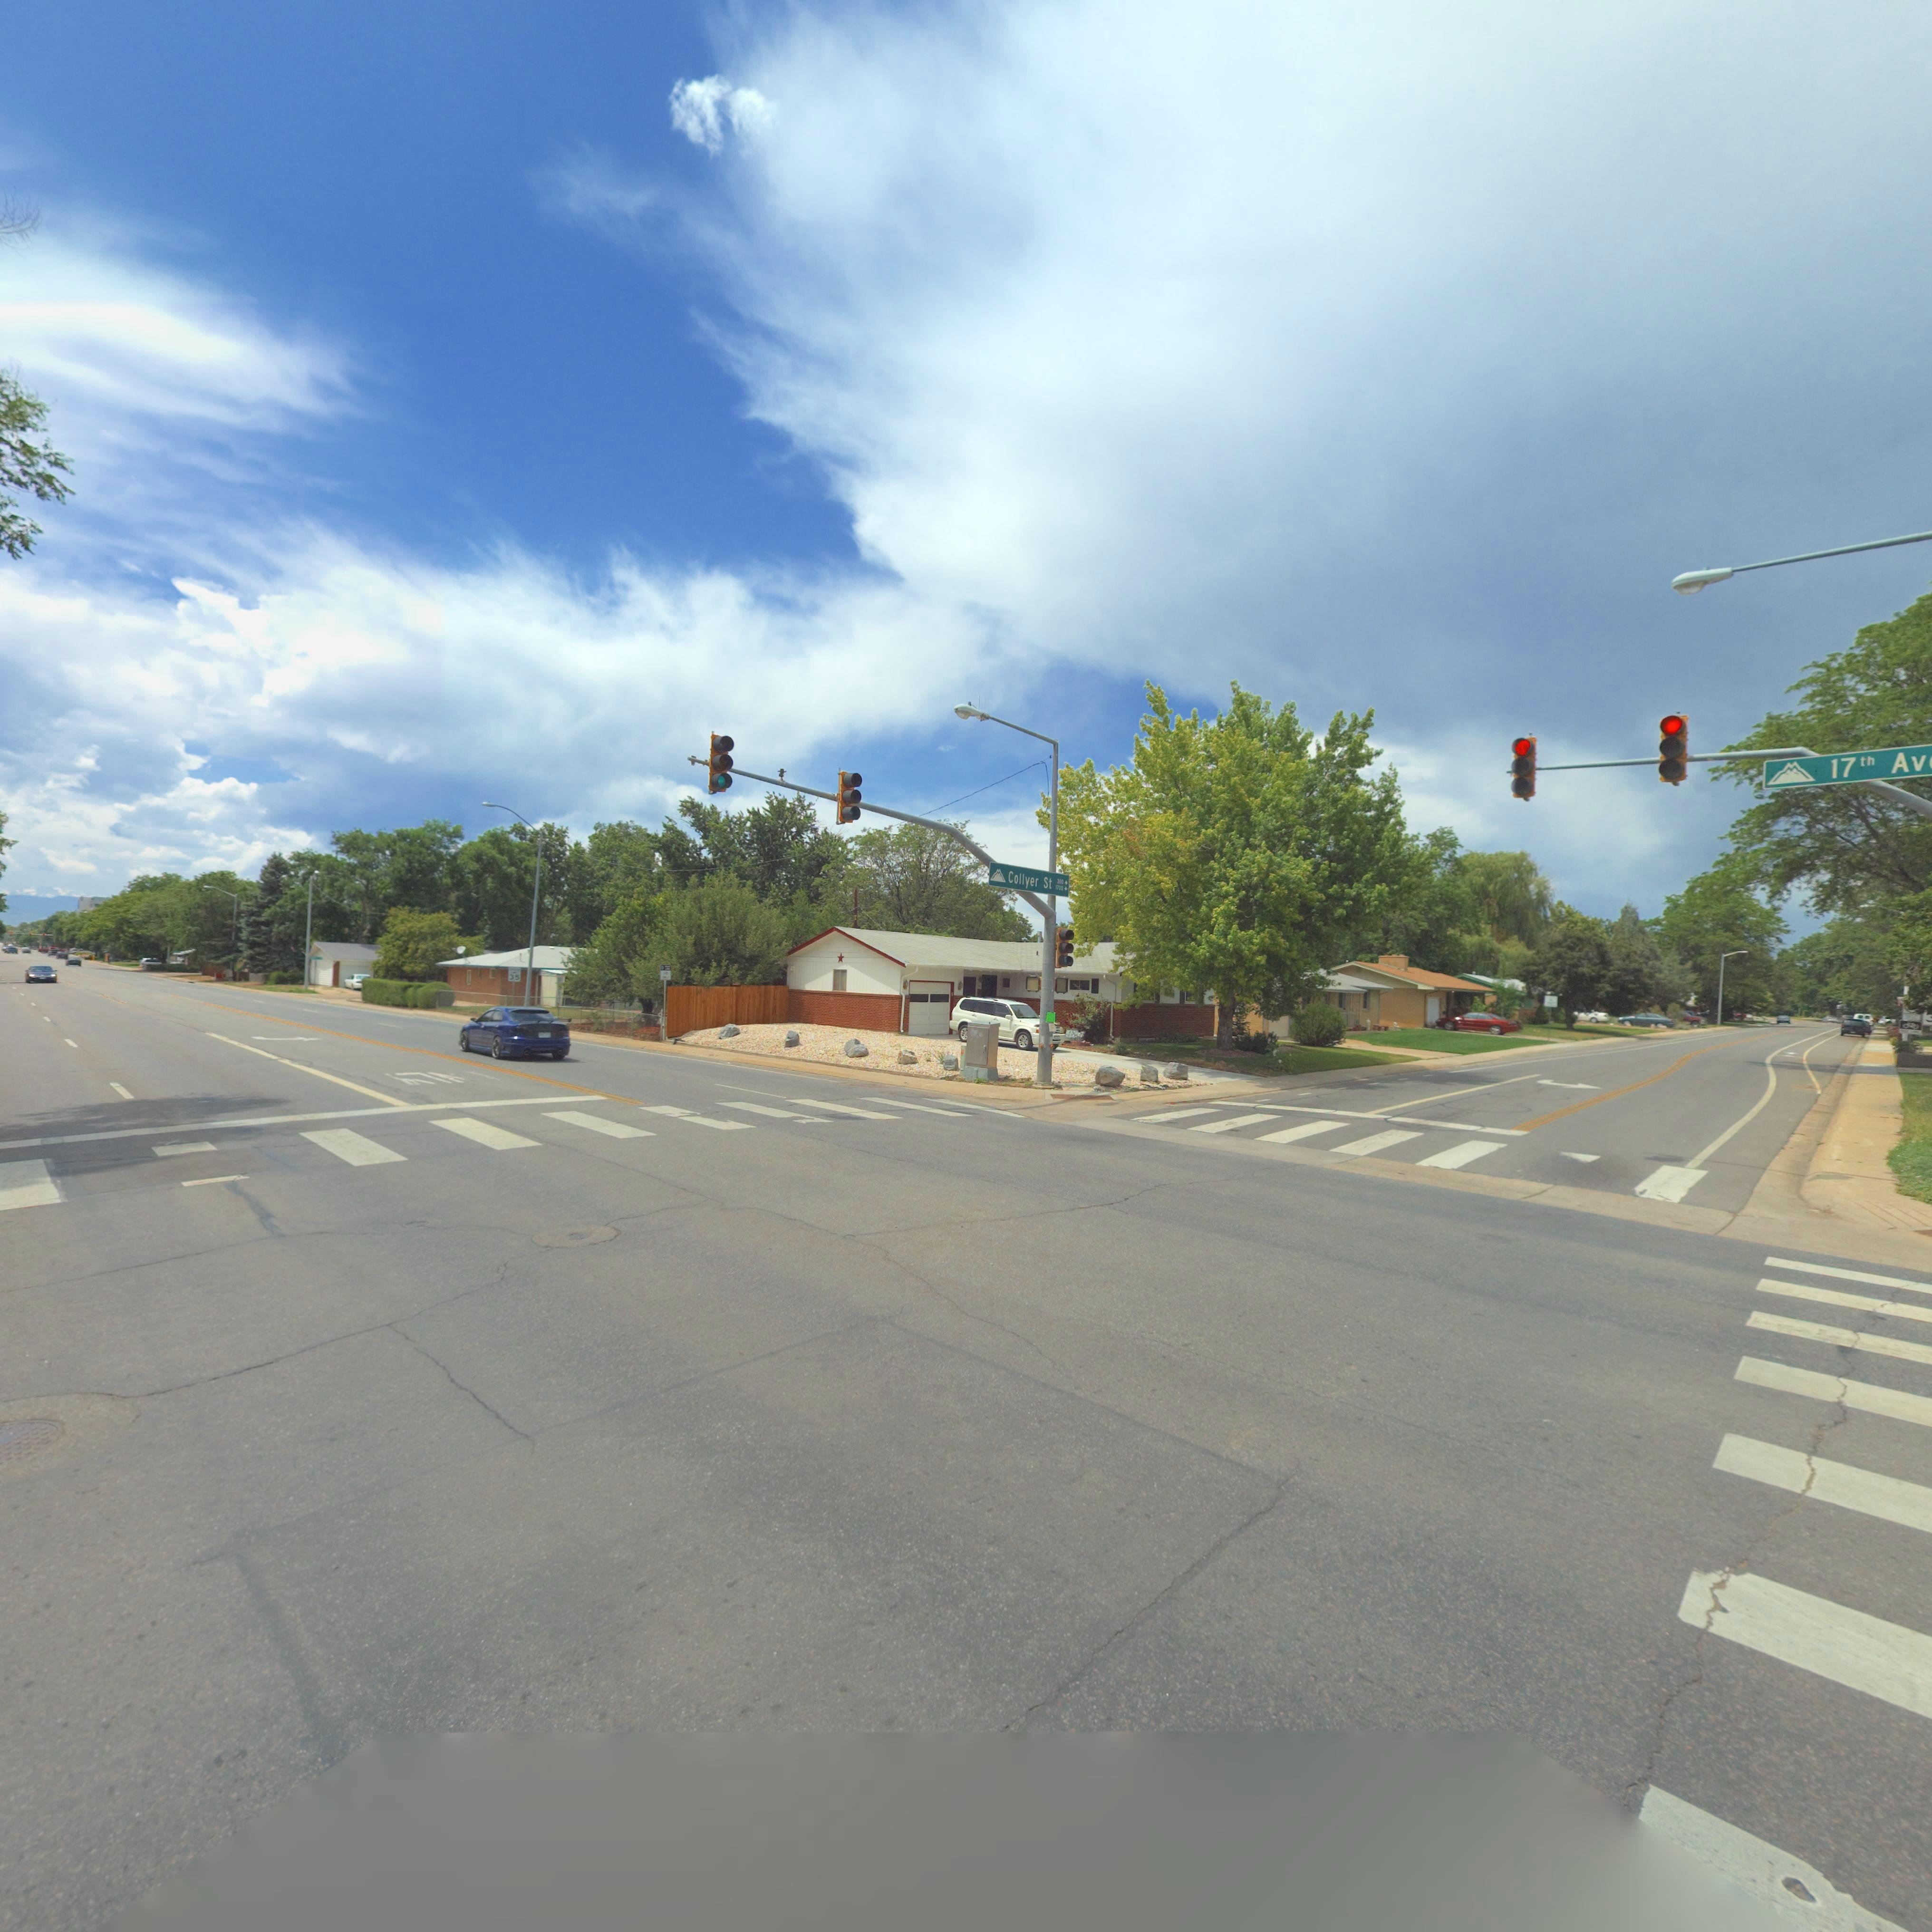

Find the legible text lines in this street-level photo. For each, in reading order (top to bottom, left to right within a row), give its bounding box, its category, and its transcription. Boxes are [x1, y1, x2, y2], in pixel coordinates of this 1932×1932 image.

[1830, 751, 1928, 779] StreetName: 17th Av
[1008, 870, 1053, 889] StreetName: Collyer St
[1055, 884, 1068, 891] StreetNumberRange: 1300->
[1056, 878, 1068, 885] StreetNumberRange: 300->